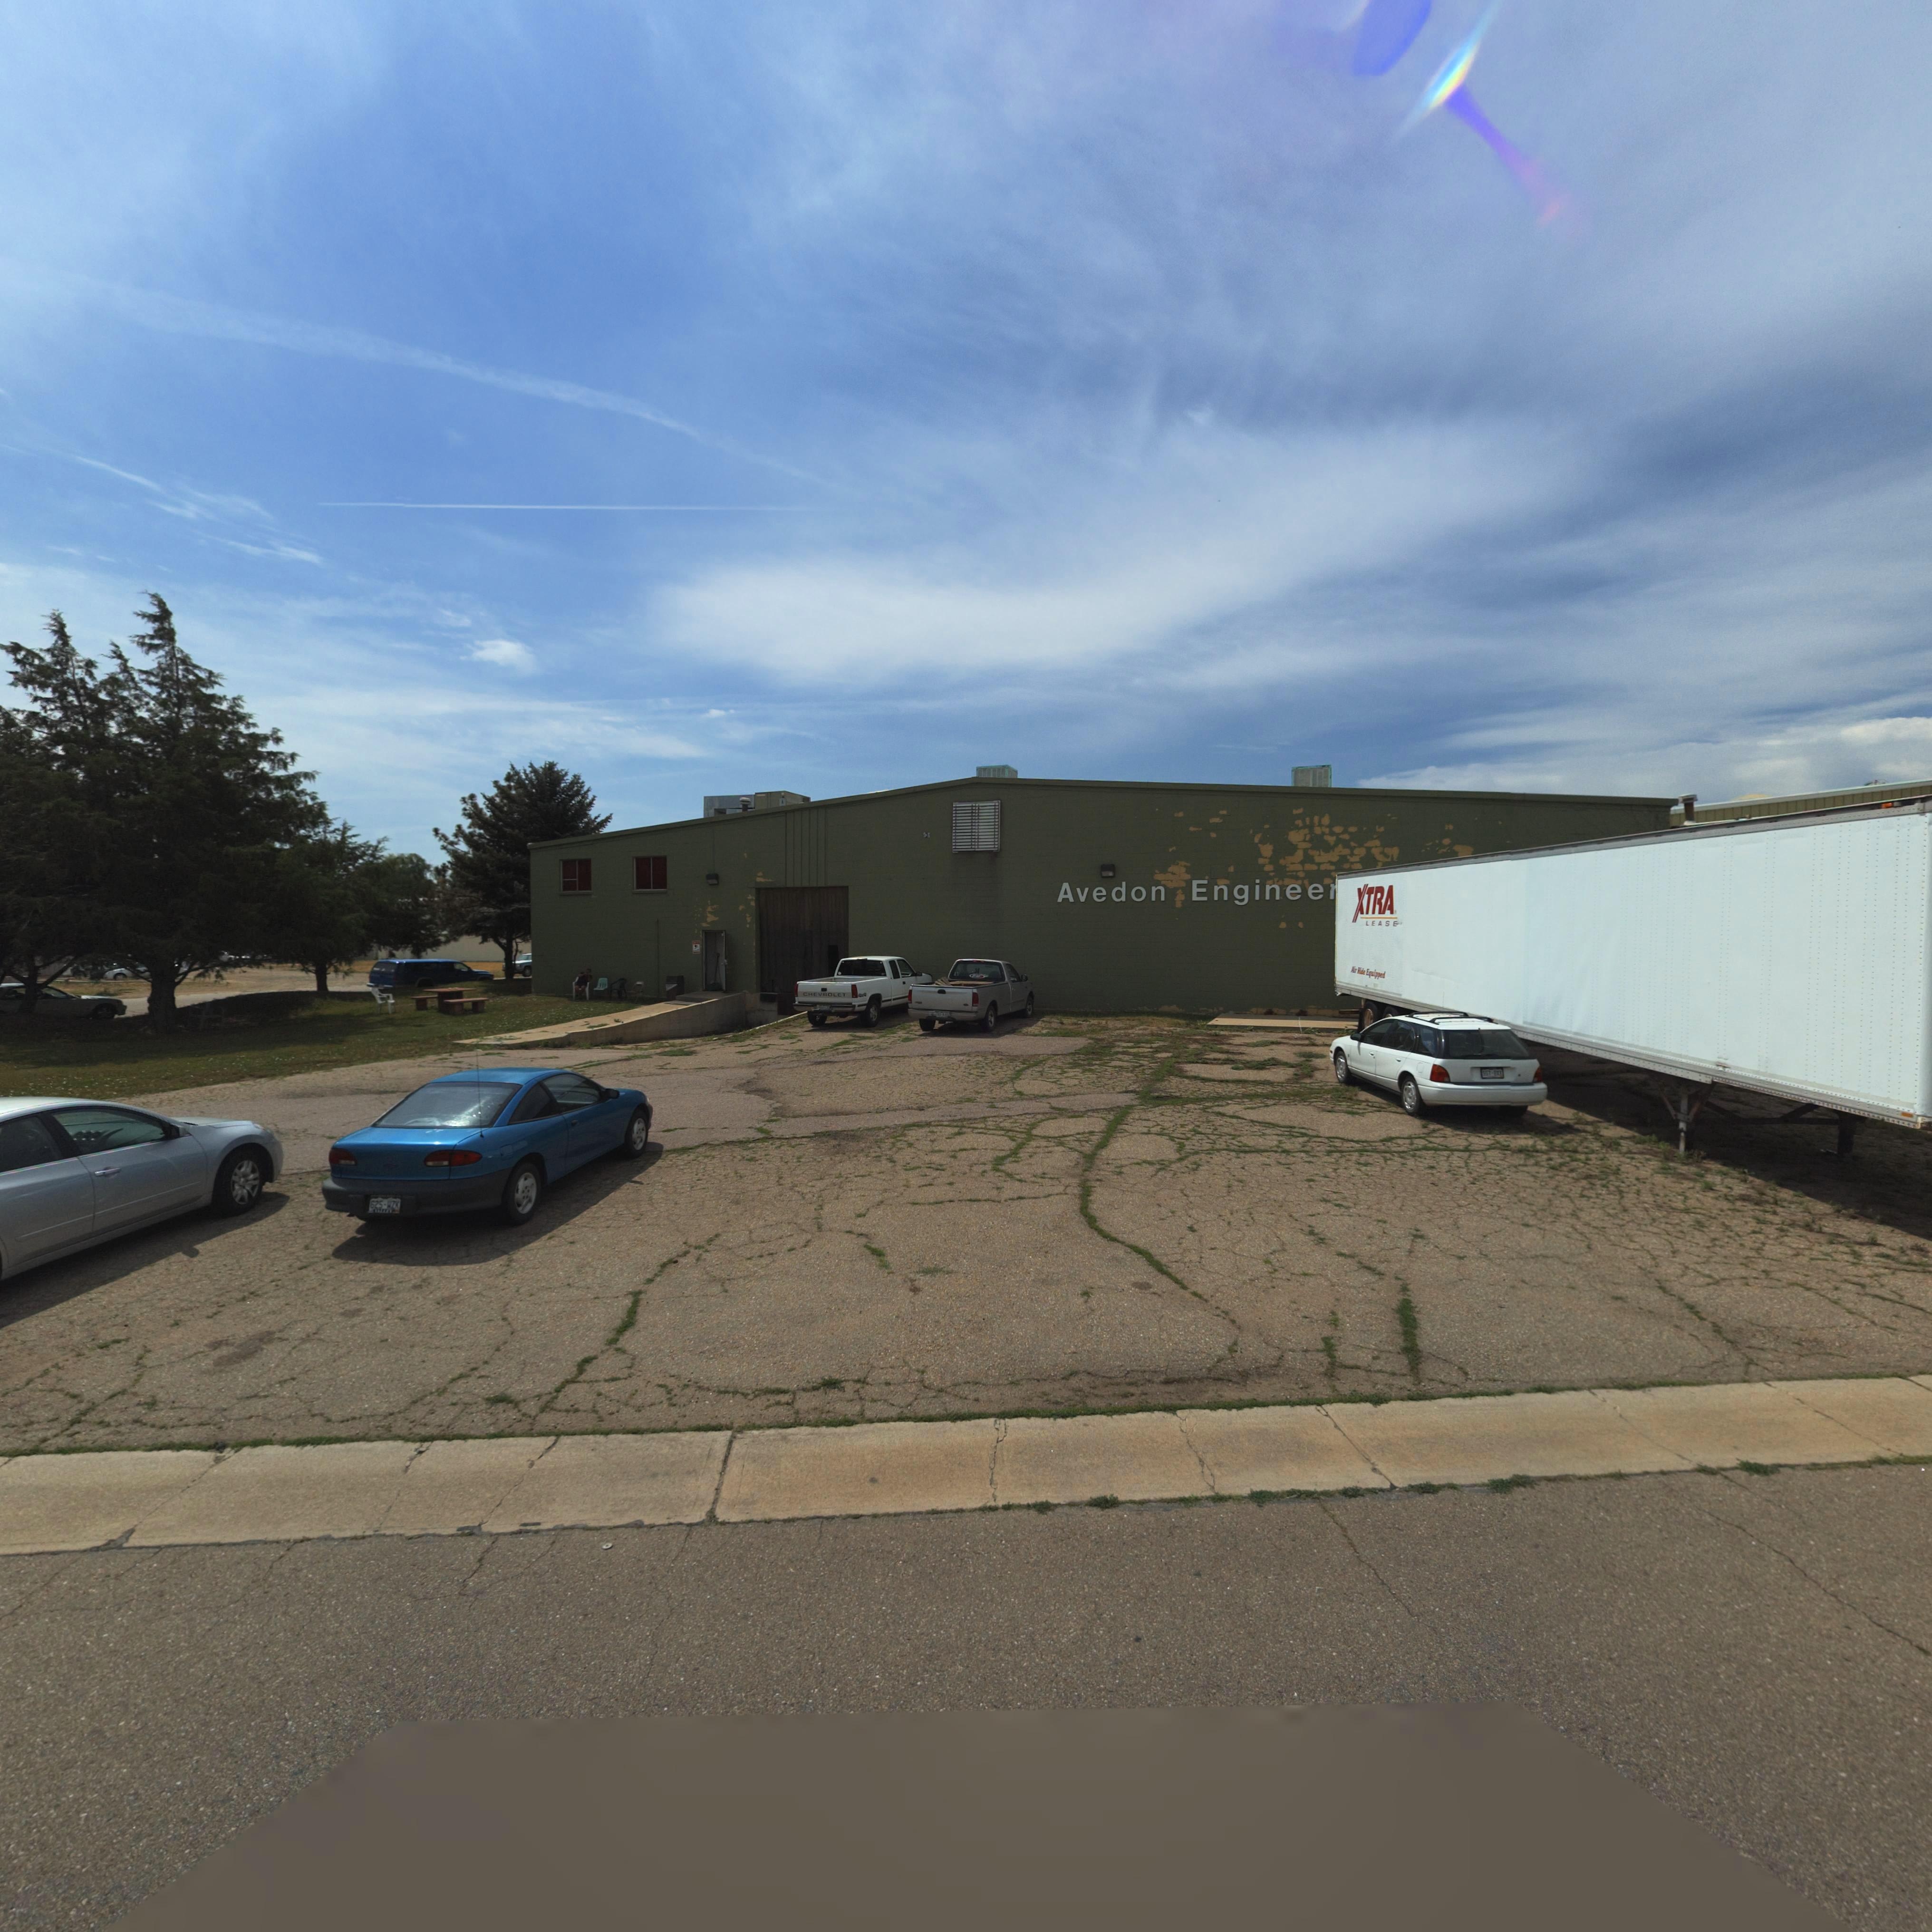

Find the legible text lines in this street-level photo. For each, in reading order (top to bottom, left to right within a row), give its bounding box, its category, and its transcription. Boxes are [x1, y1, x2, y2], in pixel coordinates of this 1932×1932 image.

[1054, 878, 1336, 907] BusinessName: Avedon Enginee*